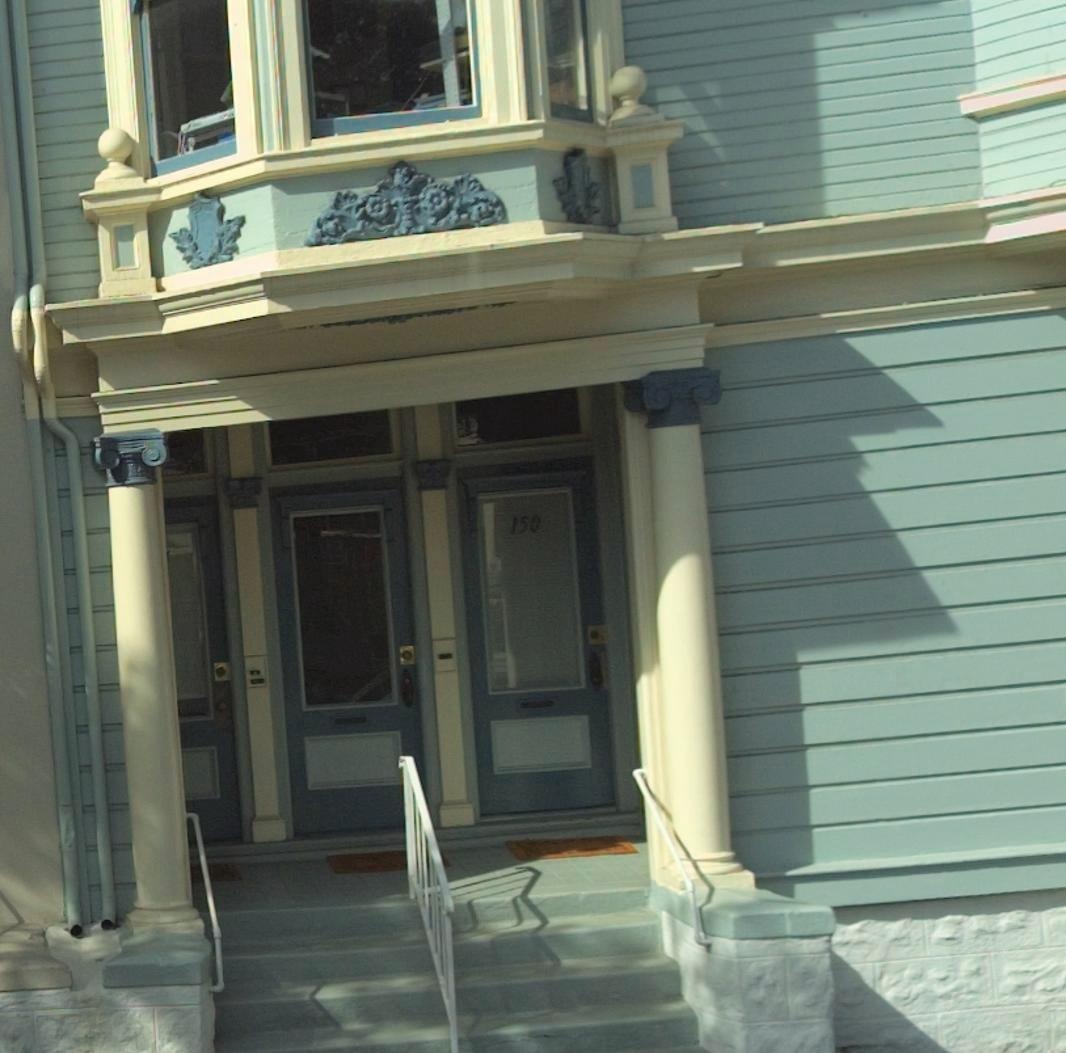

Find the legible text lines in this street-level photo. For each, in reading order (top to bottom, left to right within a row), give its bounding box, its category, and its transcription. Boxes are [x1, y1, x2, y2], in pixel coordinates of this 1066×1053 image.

[509, 514, 542, 536] StreetNumber: 150